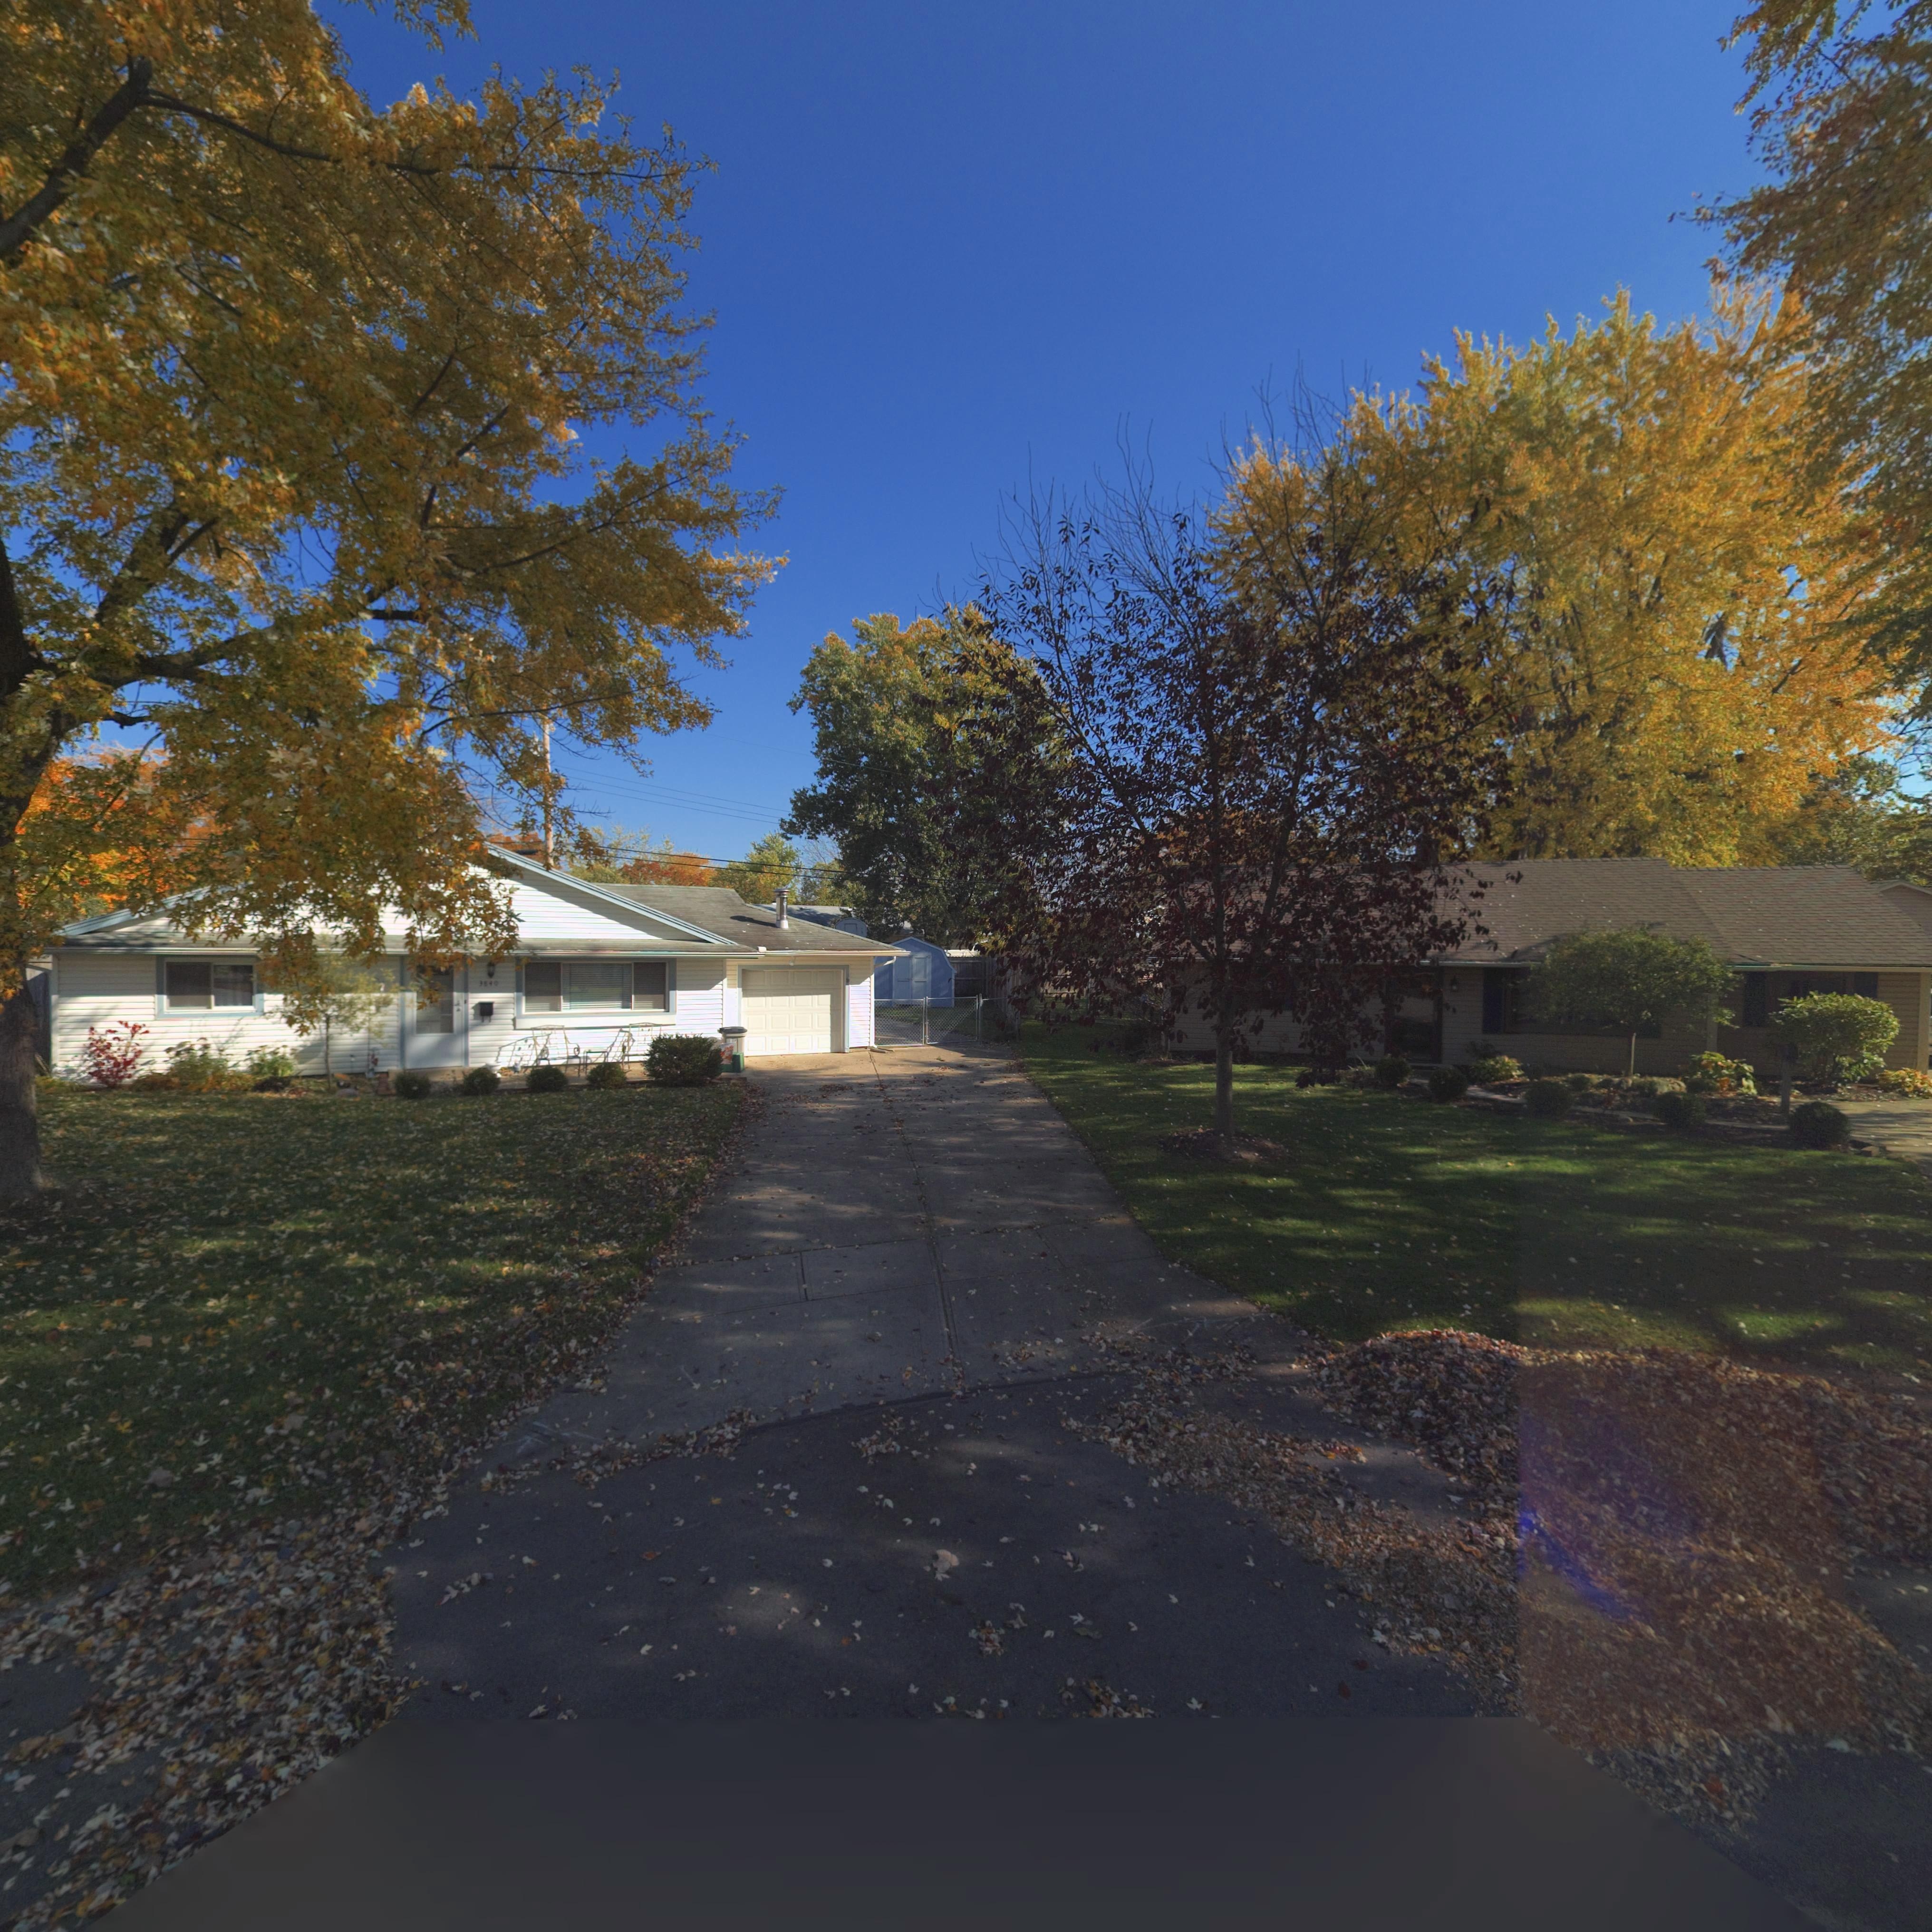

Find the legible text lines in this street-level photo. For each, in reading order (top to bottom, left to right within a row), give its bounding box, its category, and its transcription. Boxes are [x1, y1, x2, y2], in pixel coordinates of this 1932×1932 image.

[478, 979, 500, 988] StreetNumber: 3840